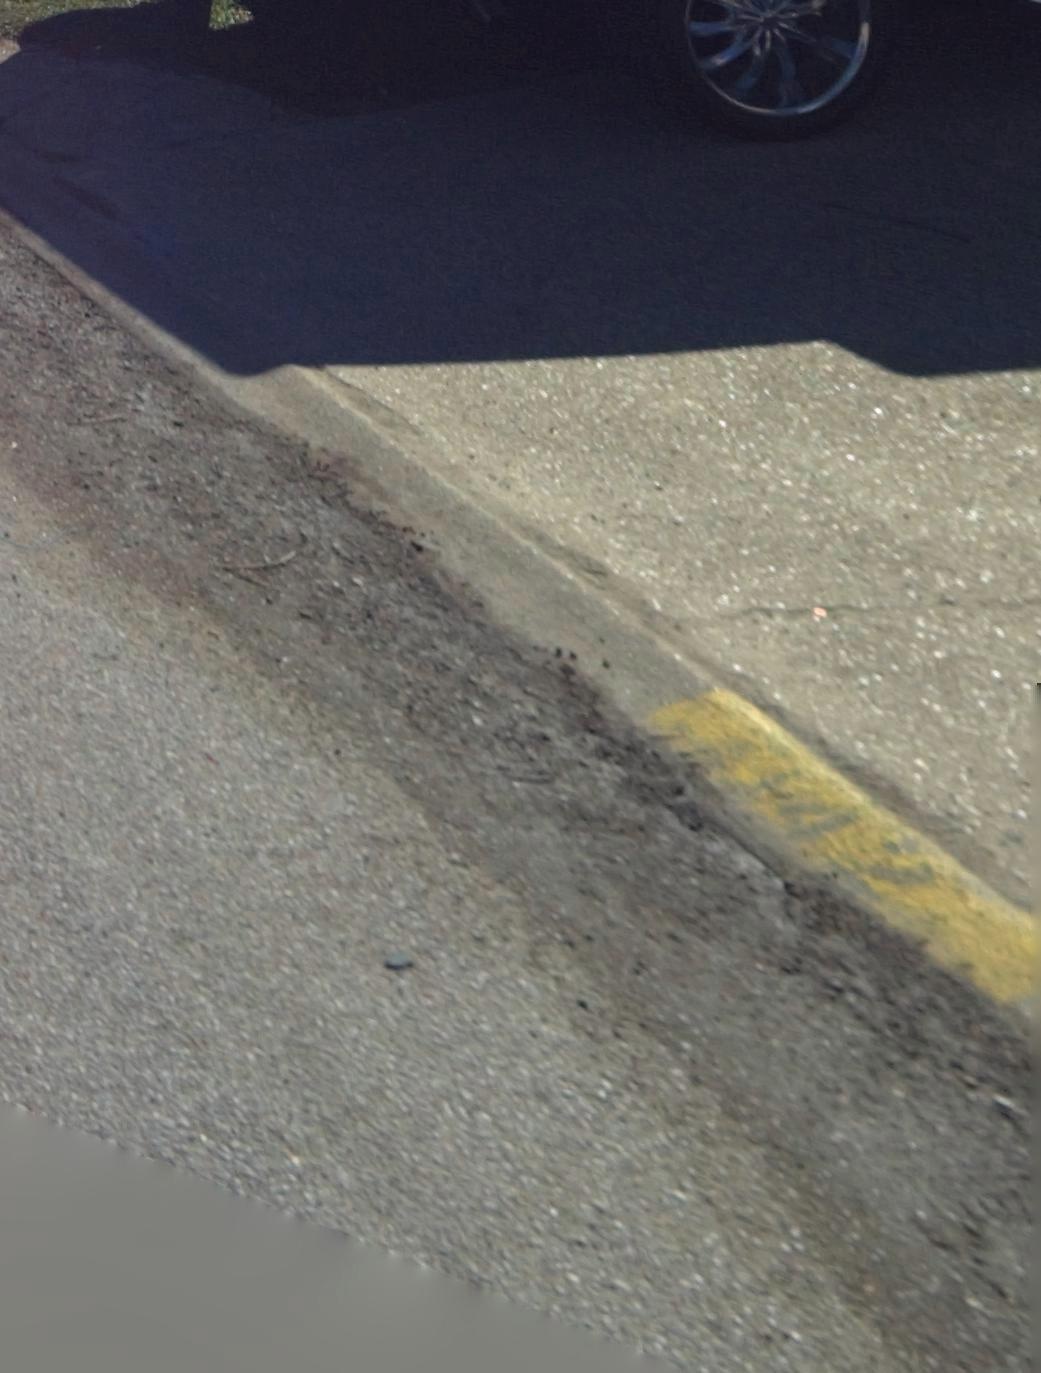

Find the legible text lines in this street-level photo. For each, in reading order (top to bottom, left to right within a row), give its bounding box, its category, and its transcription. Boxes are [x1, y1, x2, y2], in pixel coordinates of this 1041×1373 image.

[711, 753, 962, 912] StreetNumber: 142